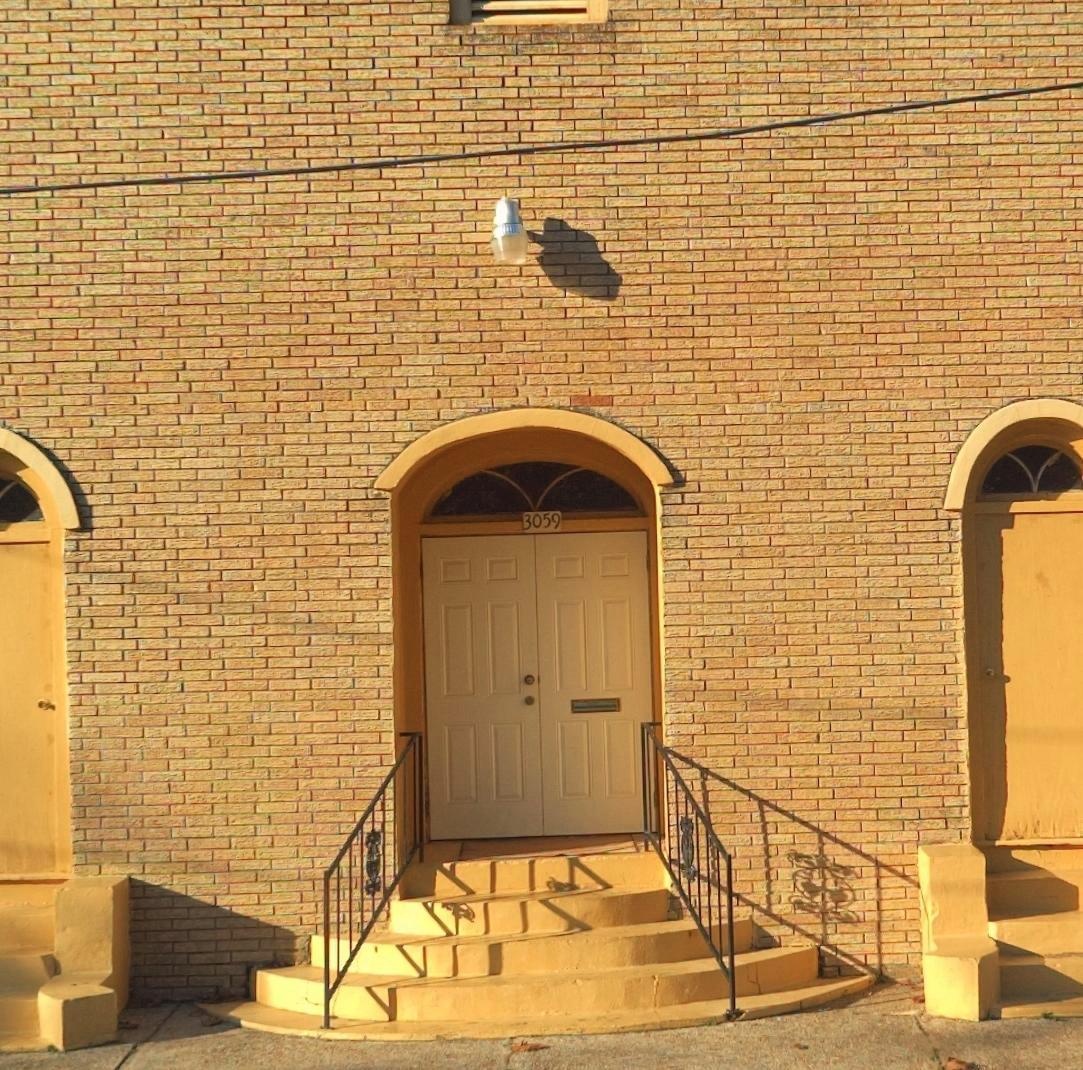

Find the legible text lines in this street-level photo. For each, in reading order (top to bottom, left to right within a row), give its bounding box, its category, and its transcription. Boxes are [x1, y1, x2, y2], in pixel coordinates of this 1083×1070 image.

[521, 510, 562, 532] StreetNumber: 3059